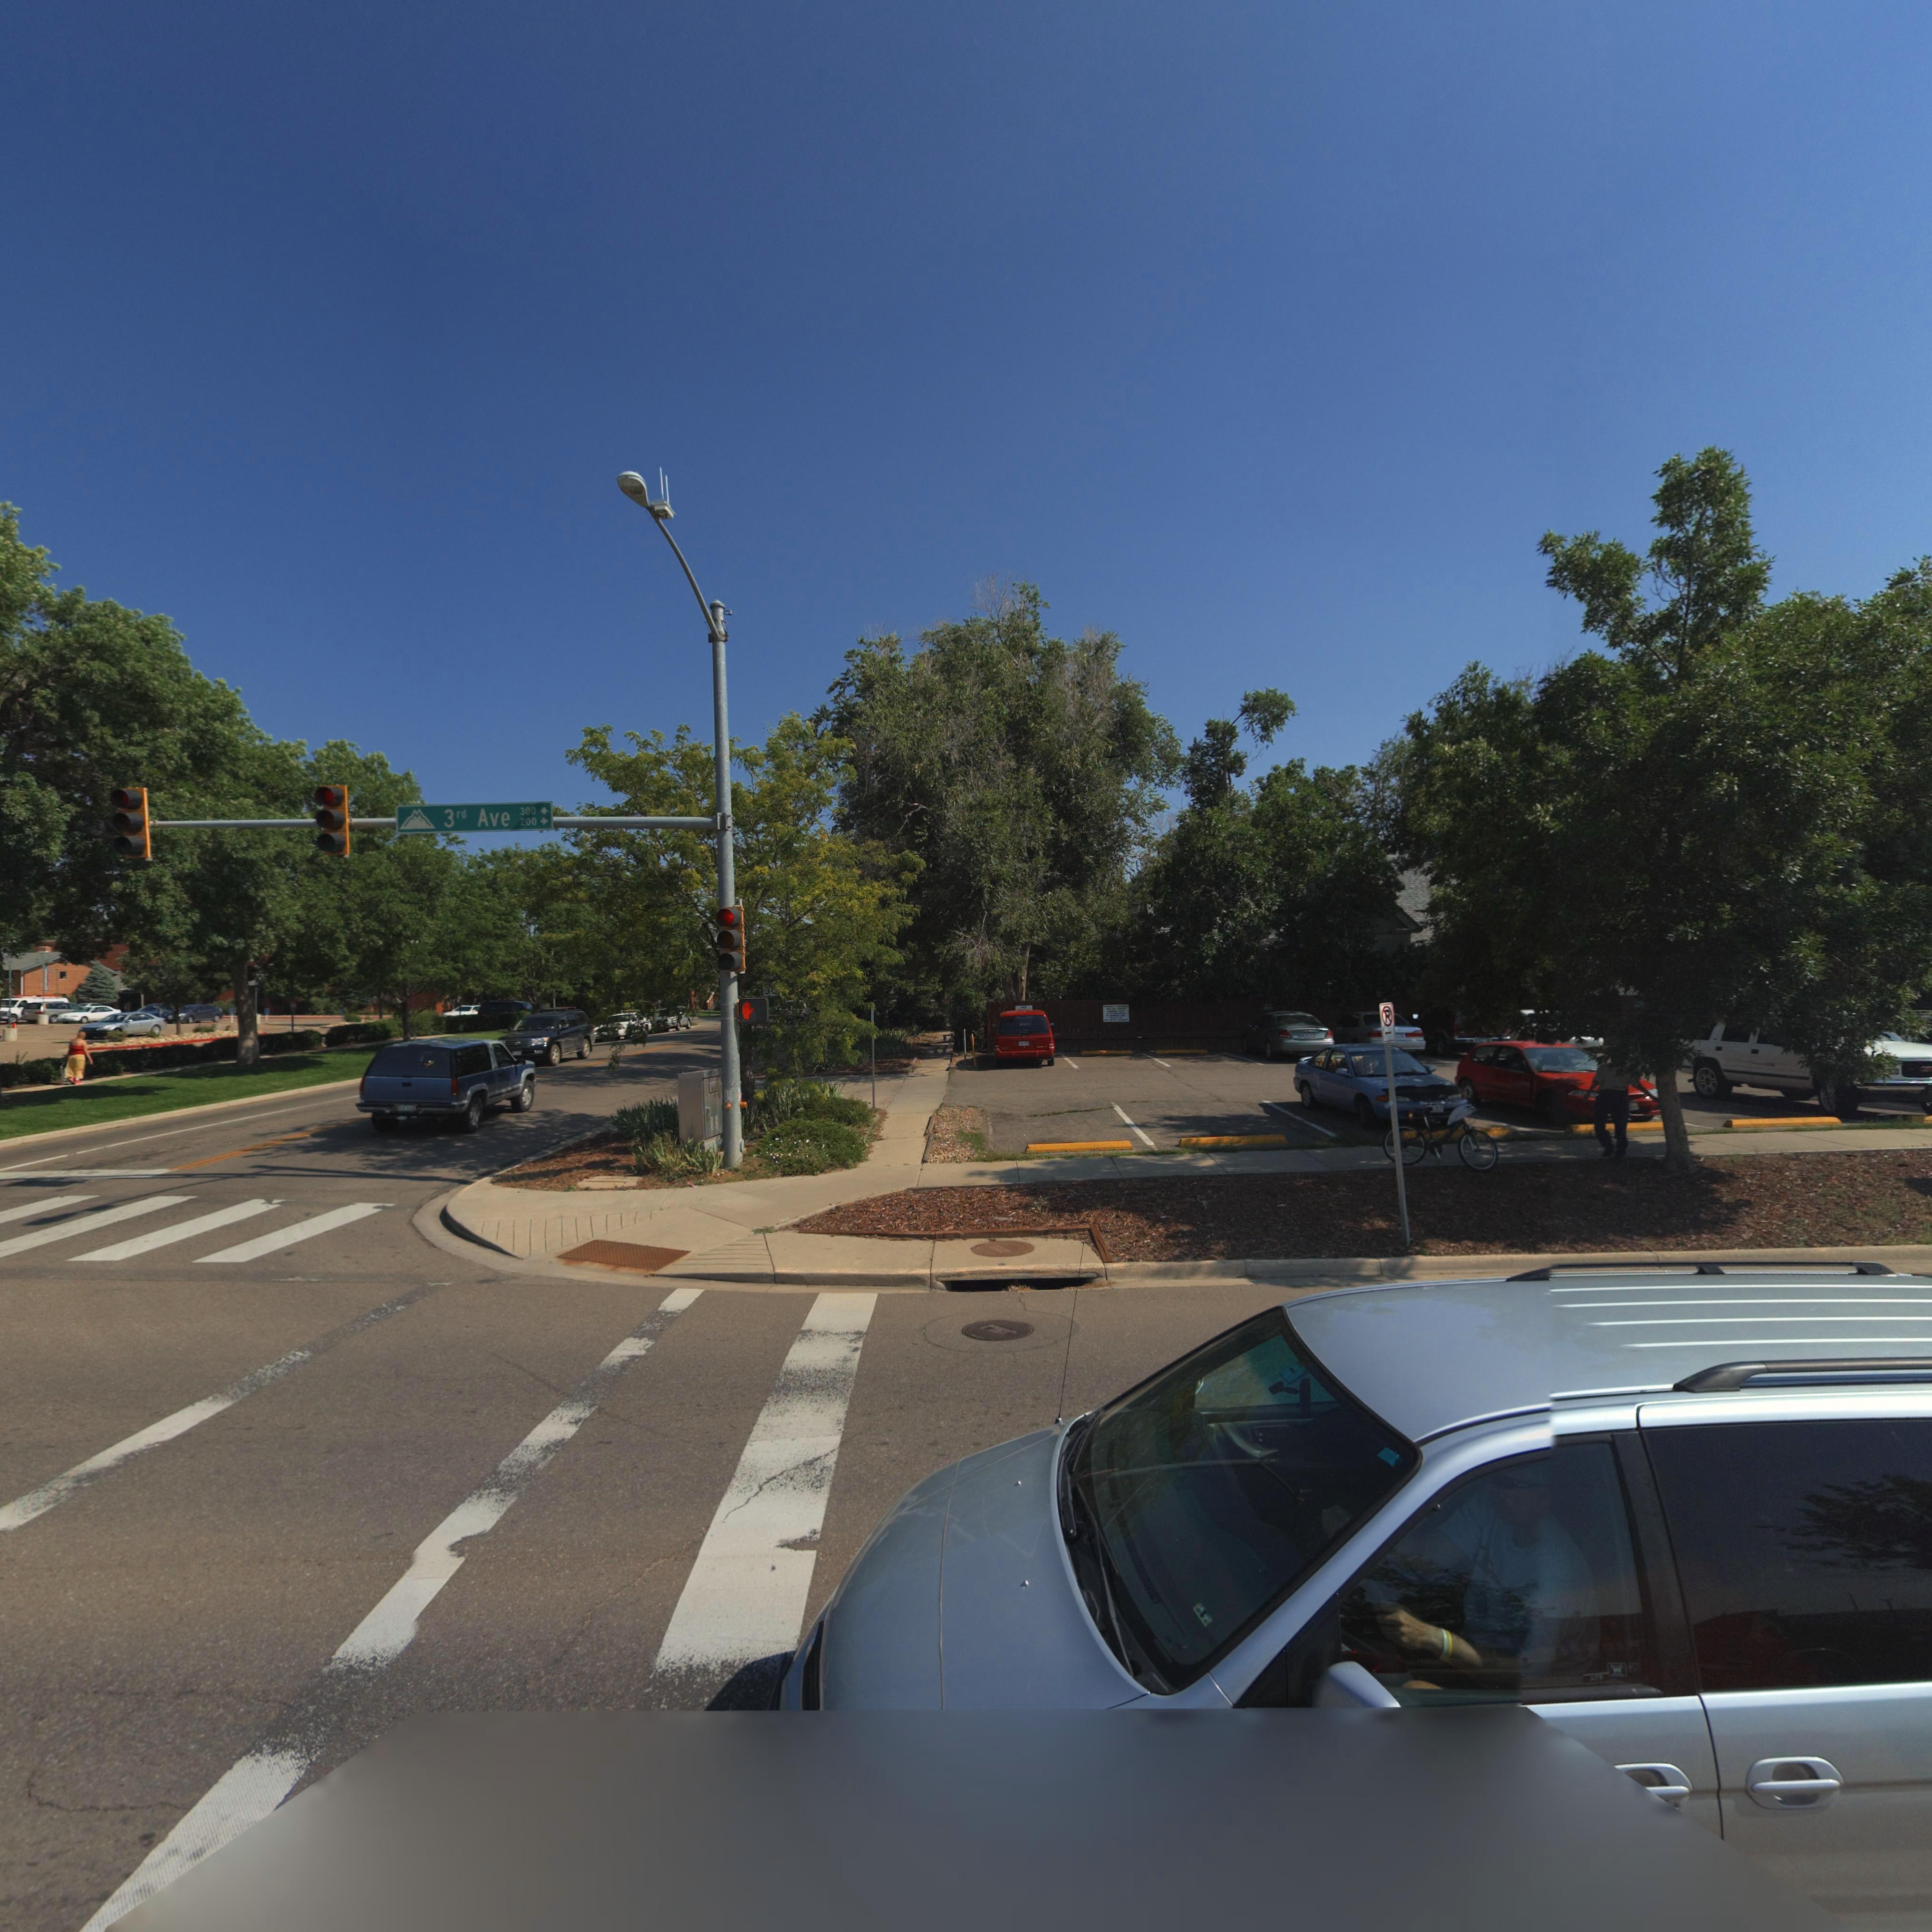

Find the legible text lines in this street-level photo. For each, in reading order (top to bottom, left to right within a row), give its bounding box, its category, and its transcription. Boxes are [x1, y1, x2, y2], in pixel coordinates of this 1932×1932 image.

[519, 806, 537, 815] StreetNumberRange: 300
[443, 807, 511, 829] StreetName: 3rd Ave
[520, 817, 548, 826] StreetNumberRange: 200->